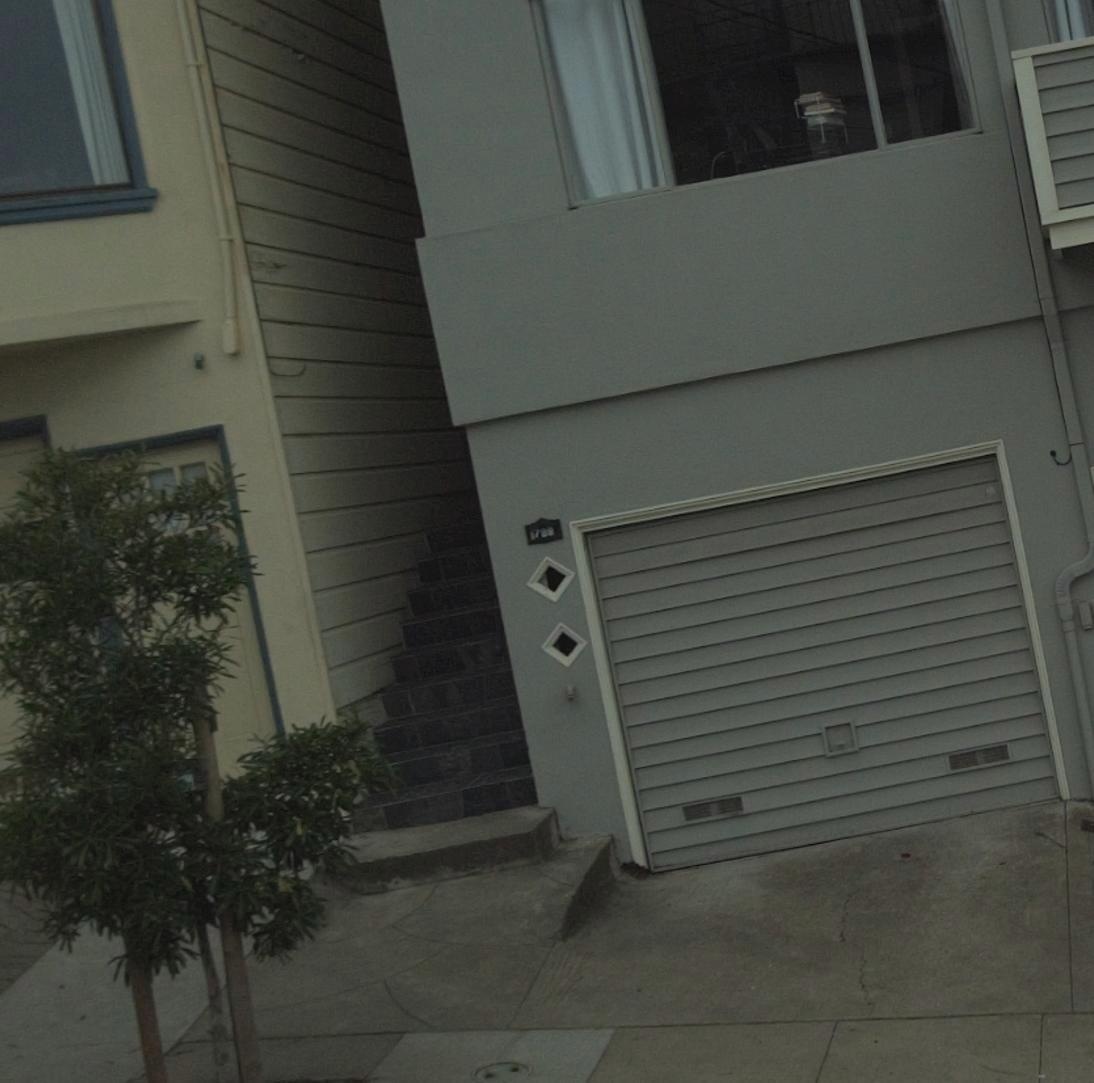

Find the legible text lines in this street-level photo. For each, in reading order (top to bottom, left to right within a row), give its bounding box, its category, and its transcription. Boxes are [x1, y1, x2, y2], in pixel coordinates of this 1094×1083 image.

[532, 524, 557, 540] StreetNumber: 788